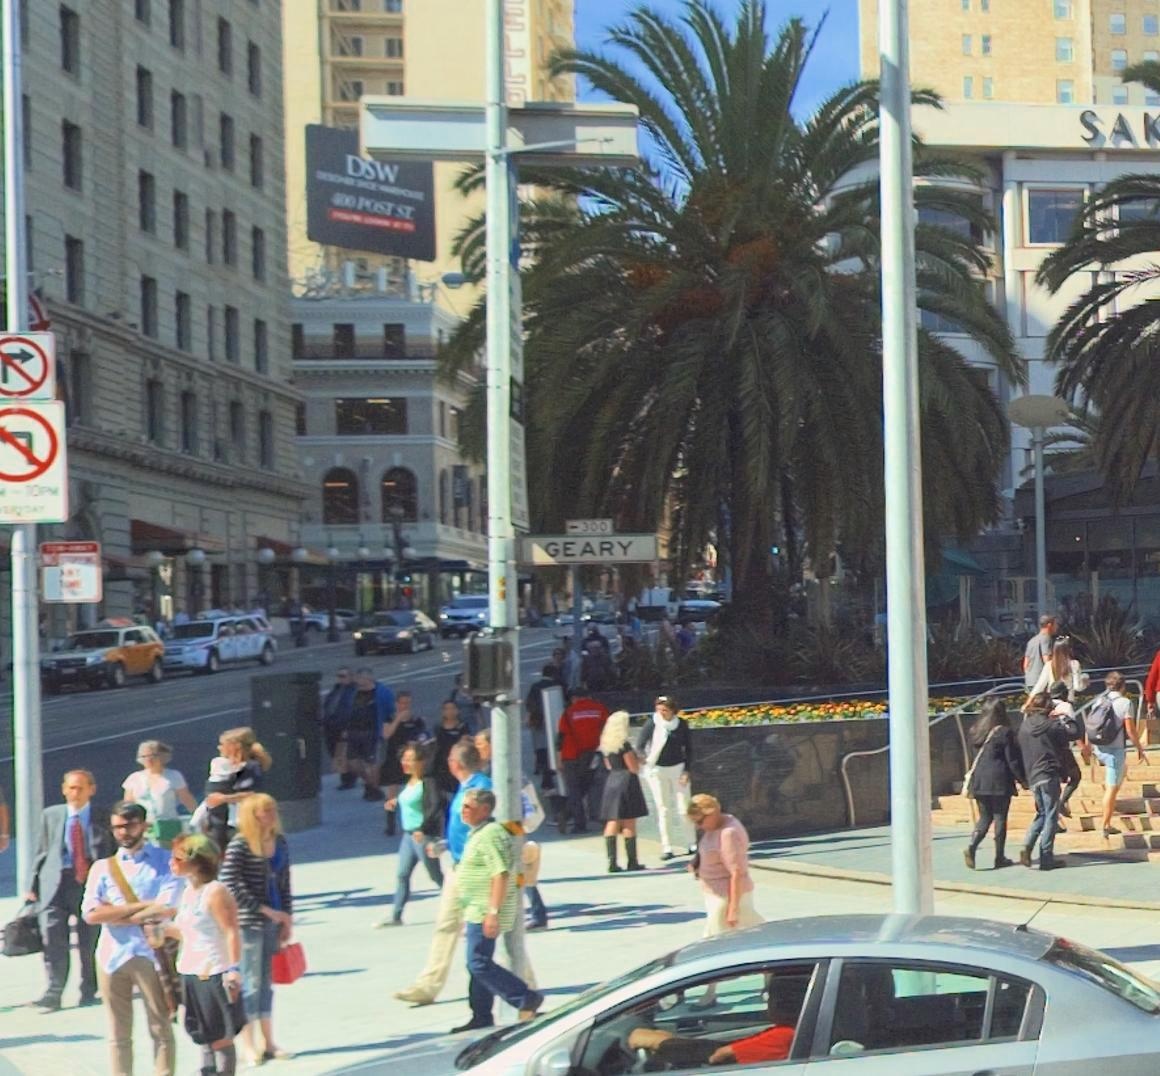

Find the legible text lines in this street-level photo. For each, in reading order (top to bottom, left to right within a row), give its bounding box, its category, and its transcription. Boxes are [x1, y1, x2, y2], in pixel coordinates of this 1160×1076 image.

[1077, 108, 1160, 144] BusinessName: SAK
[344, 150, 402, 186] None: DSW
[353, 191, 418, 223] None: POST ST.
[22, 482, 63, 500] None: 10PM
[566, 519, 610, 535] StreetNumber: <-300
[540, 538, 636, 560] StreetName: Geary < [300]